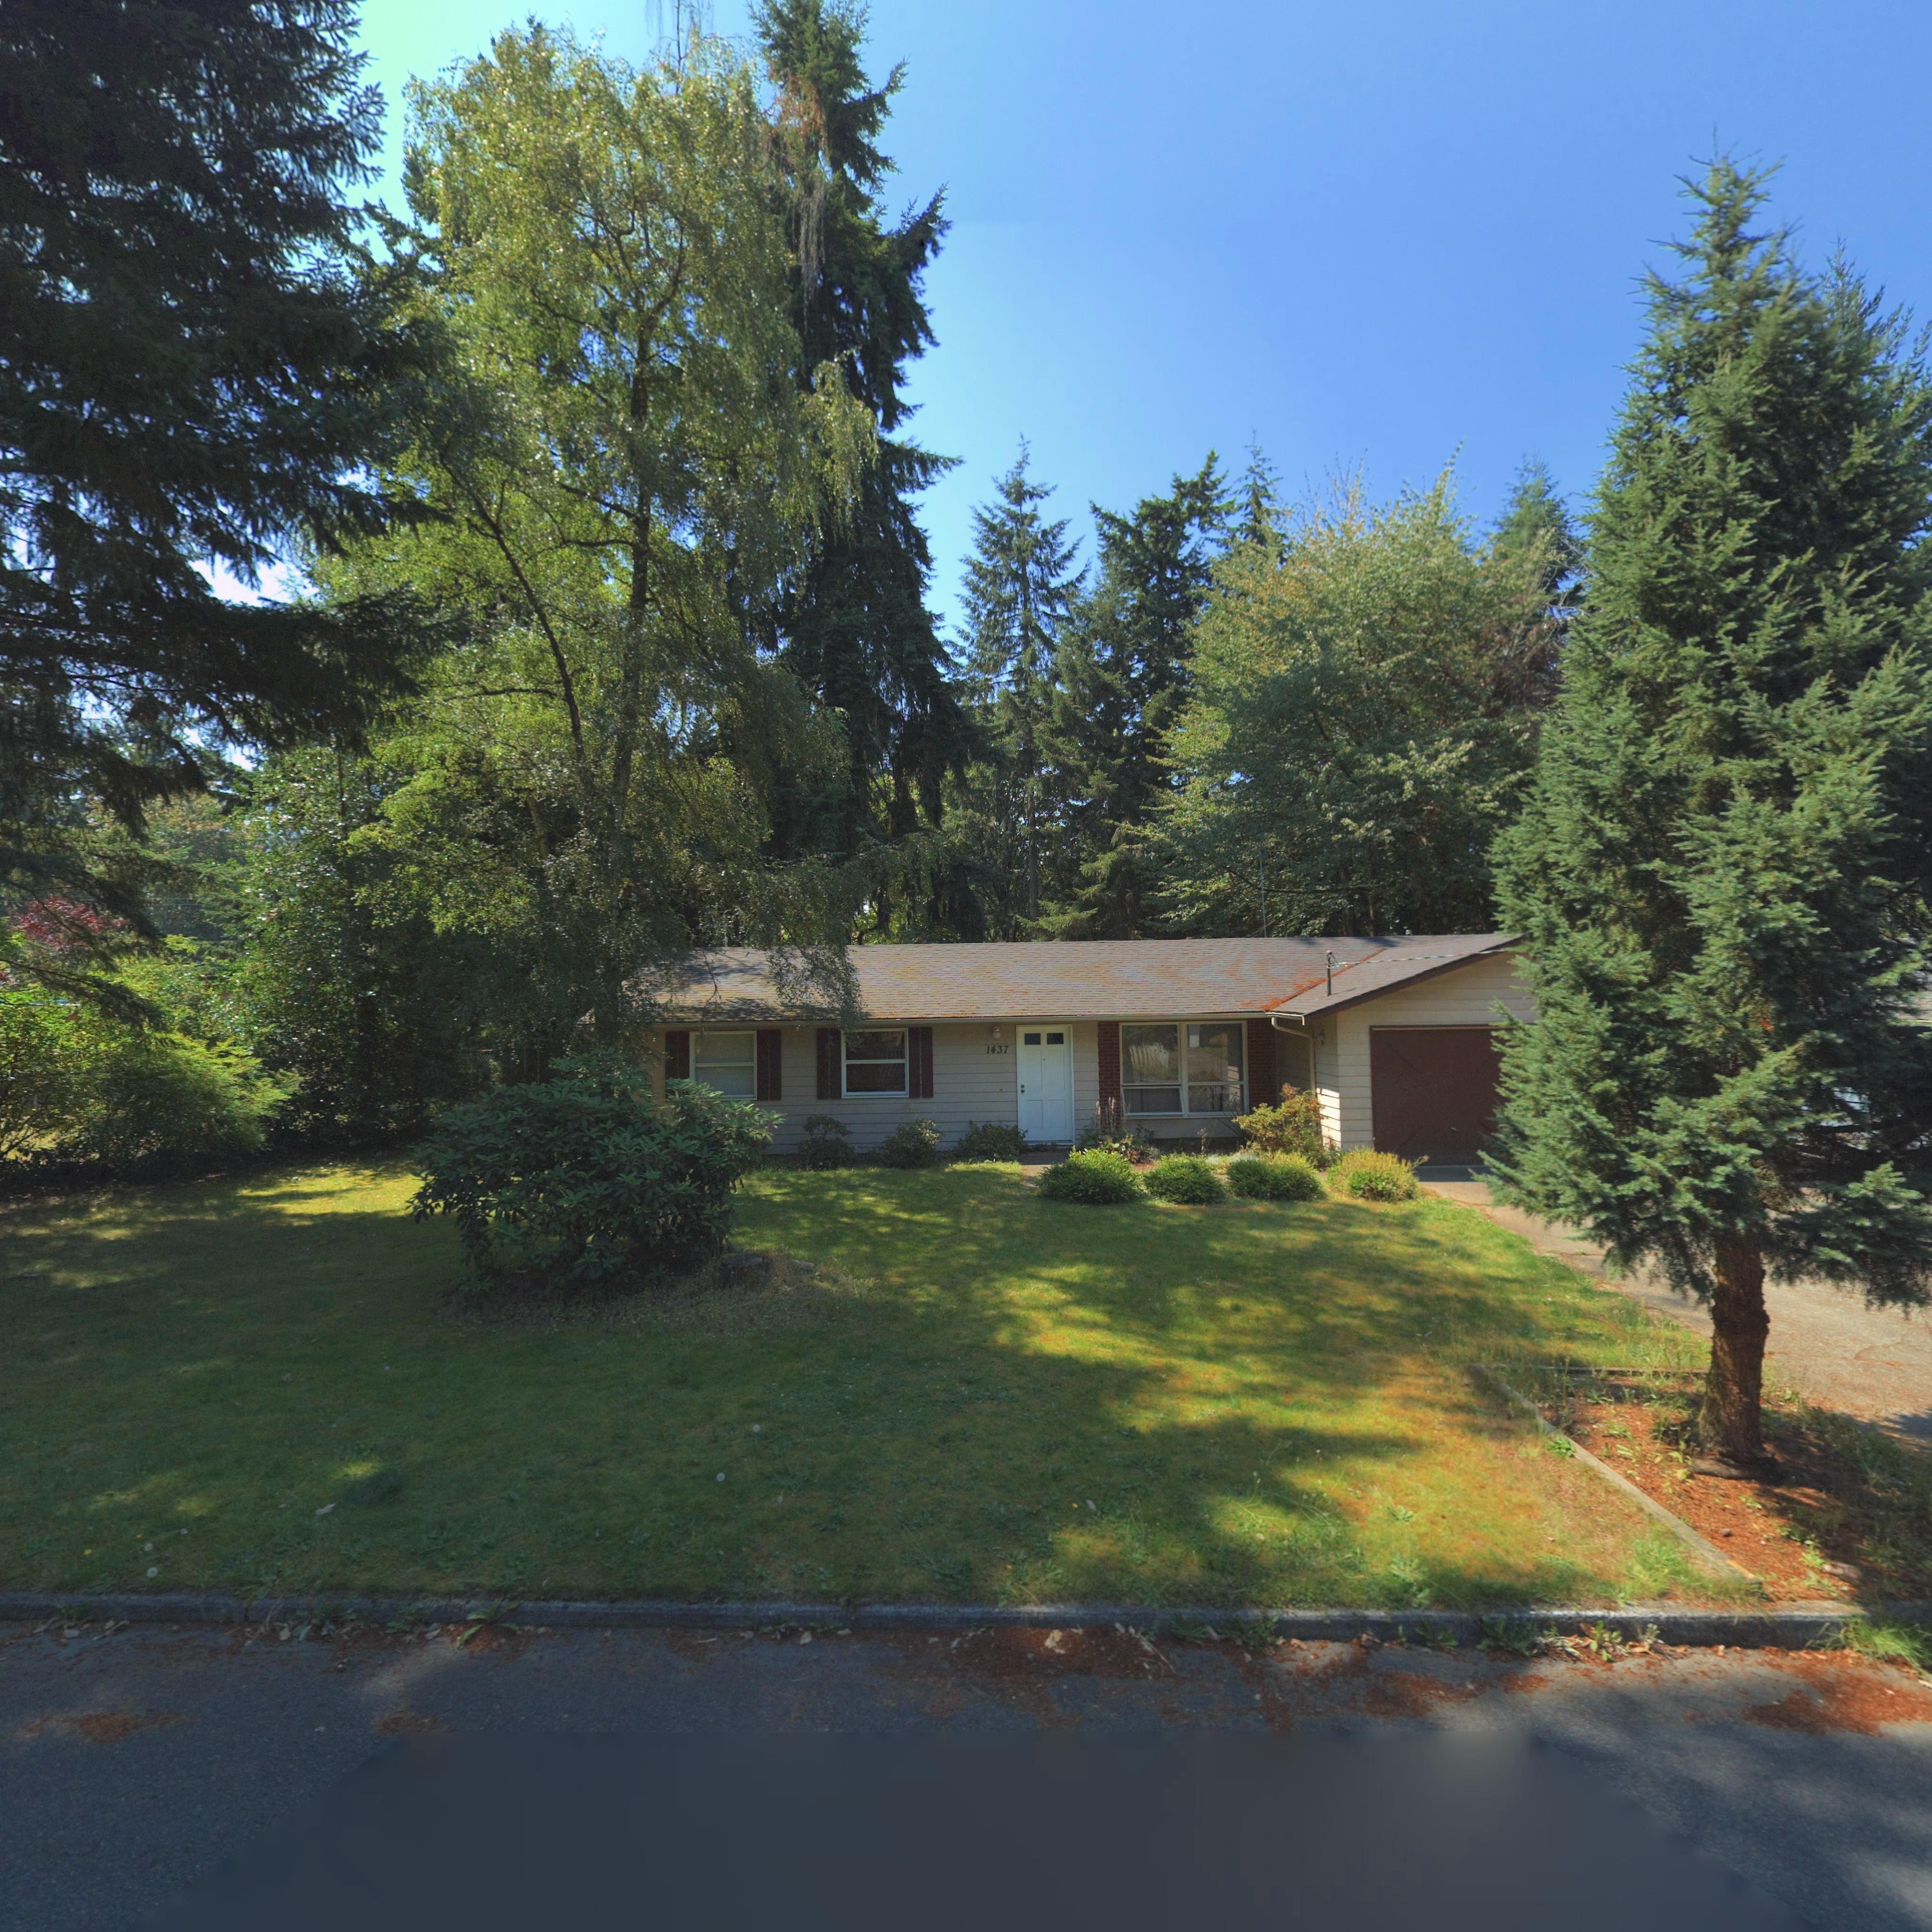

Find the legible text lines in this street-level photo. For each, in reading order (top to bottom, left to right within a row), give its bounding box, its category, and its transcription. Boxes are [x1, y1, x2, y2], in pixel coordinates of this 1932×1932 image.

[987, 1045, 1008, 1053] StreetNumber: 1437